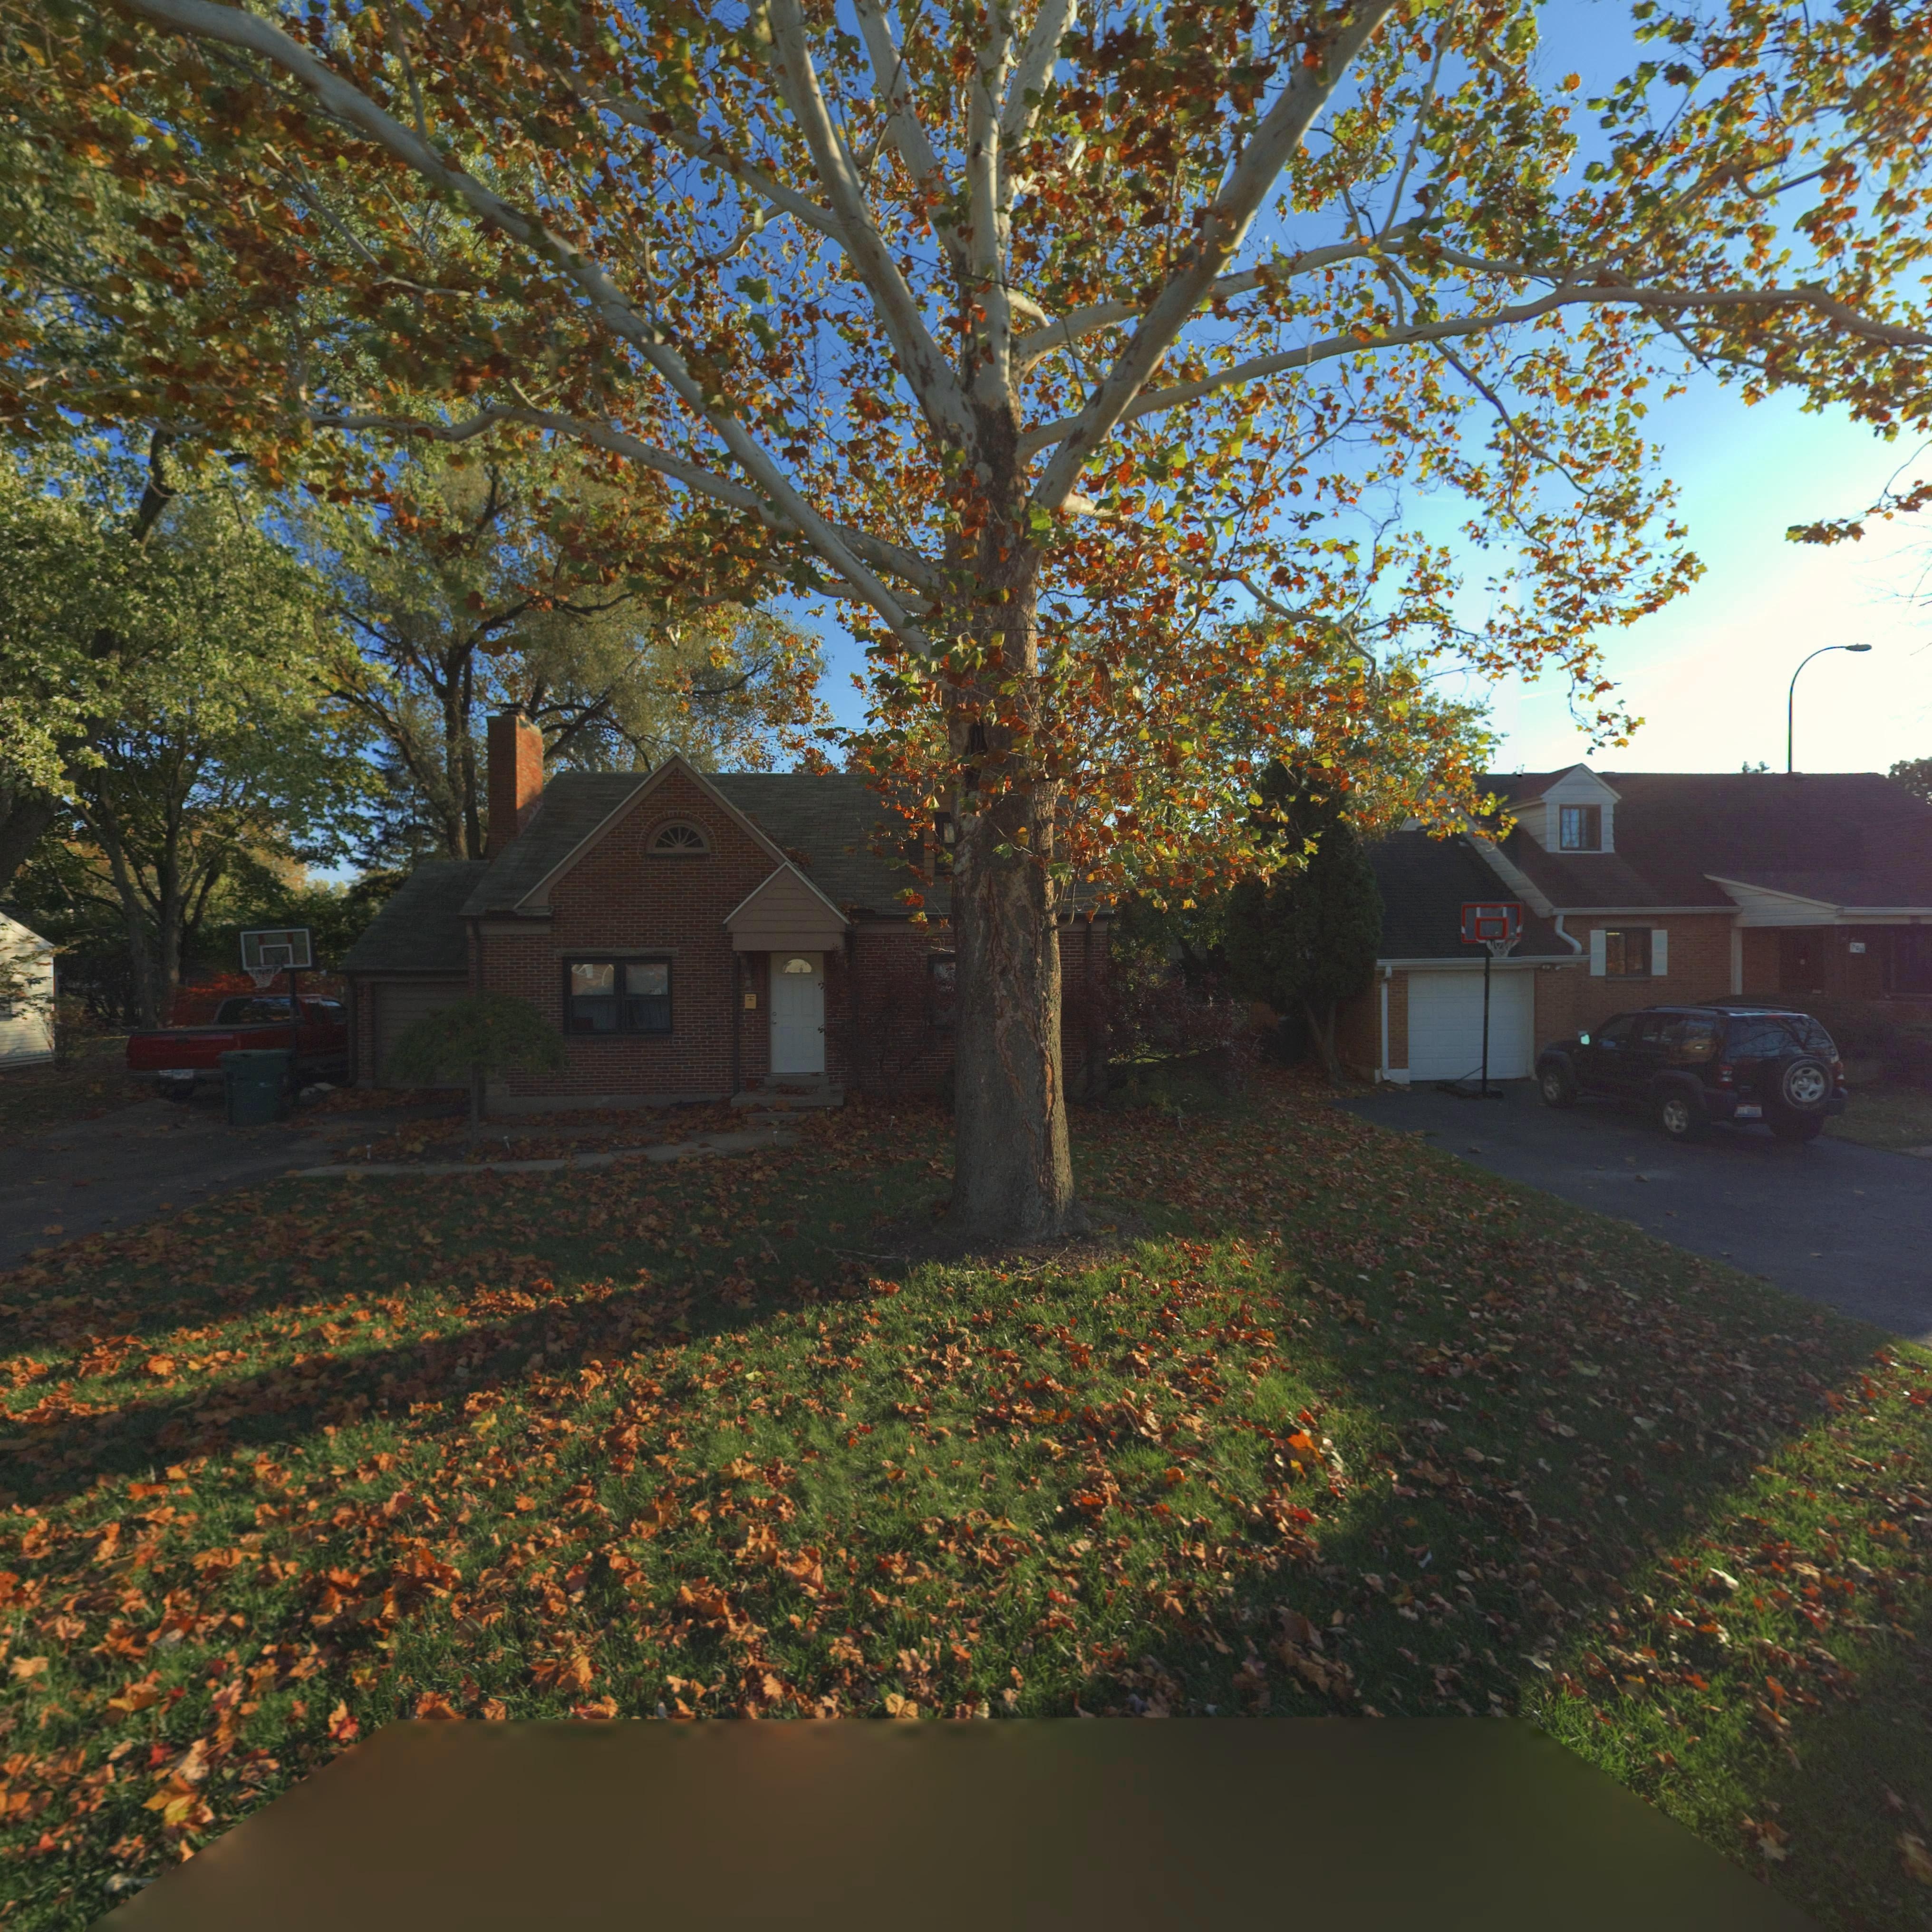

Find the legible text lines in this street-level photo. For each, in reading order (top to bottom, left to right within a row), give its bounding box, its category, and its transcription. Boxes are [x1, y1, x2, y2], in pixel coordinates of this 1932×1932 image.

[1851, 943, 1864, 953] StreetNumber: 50*